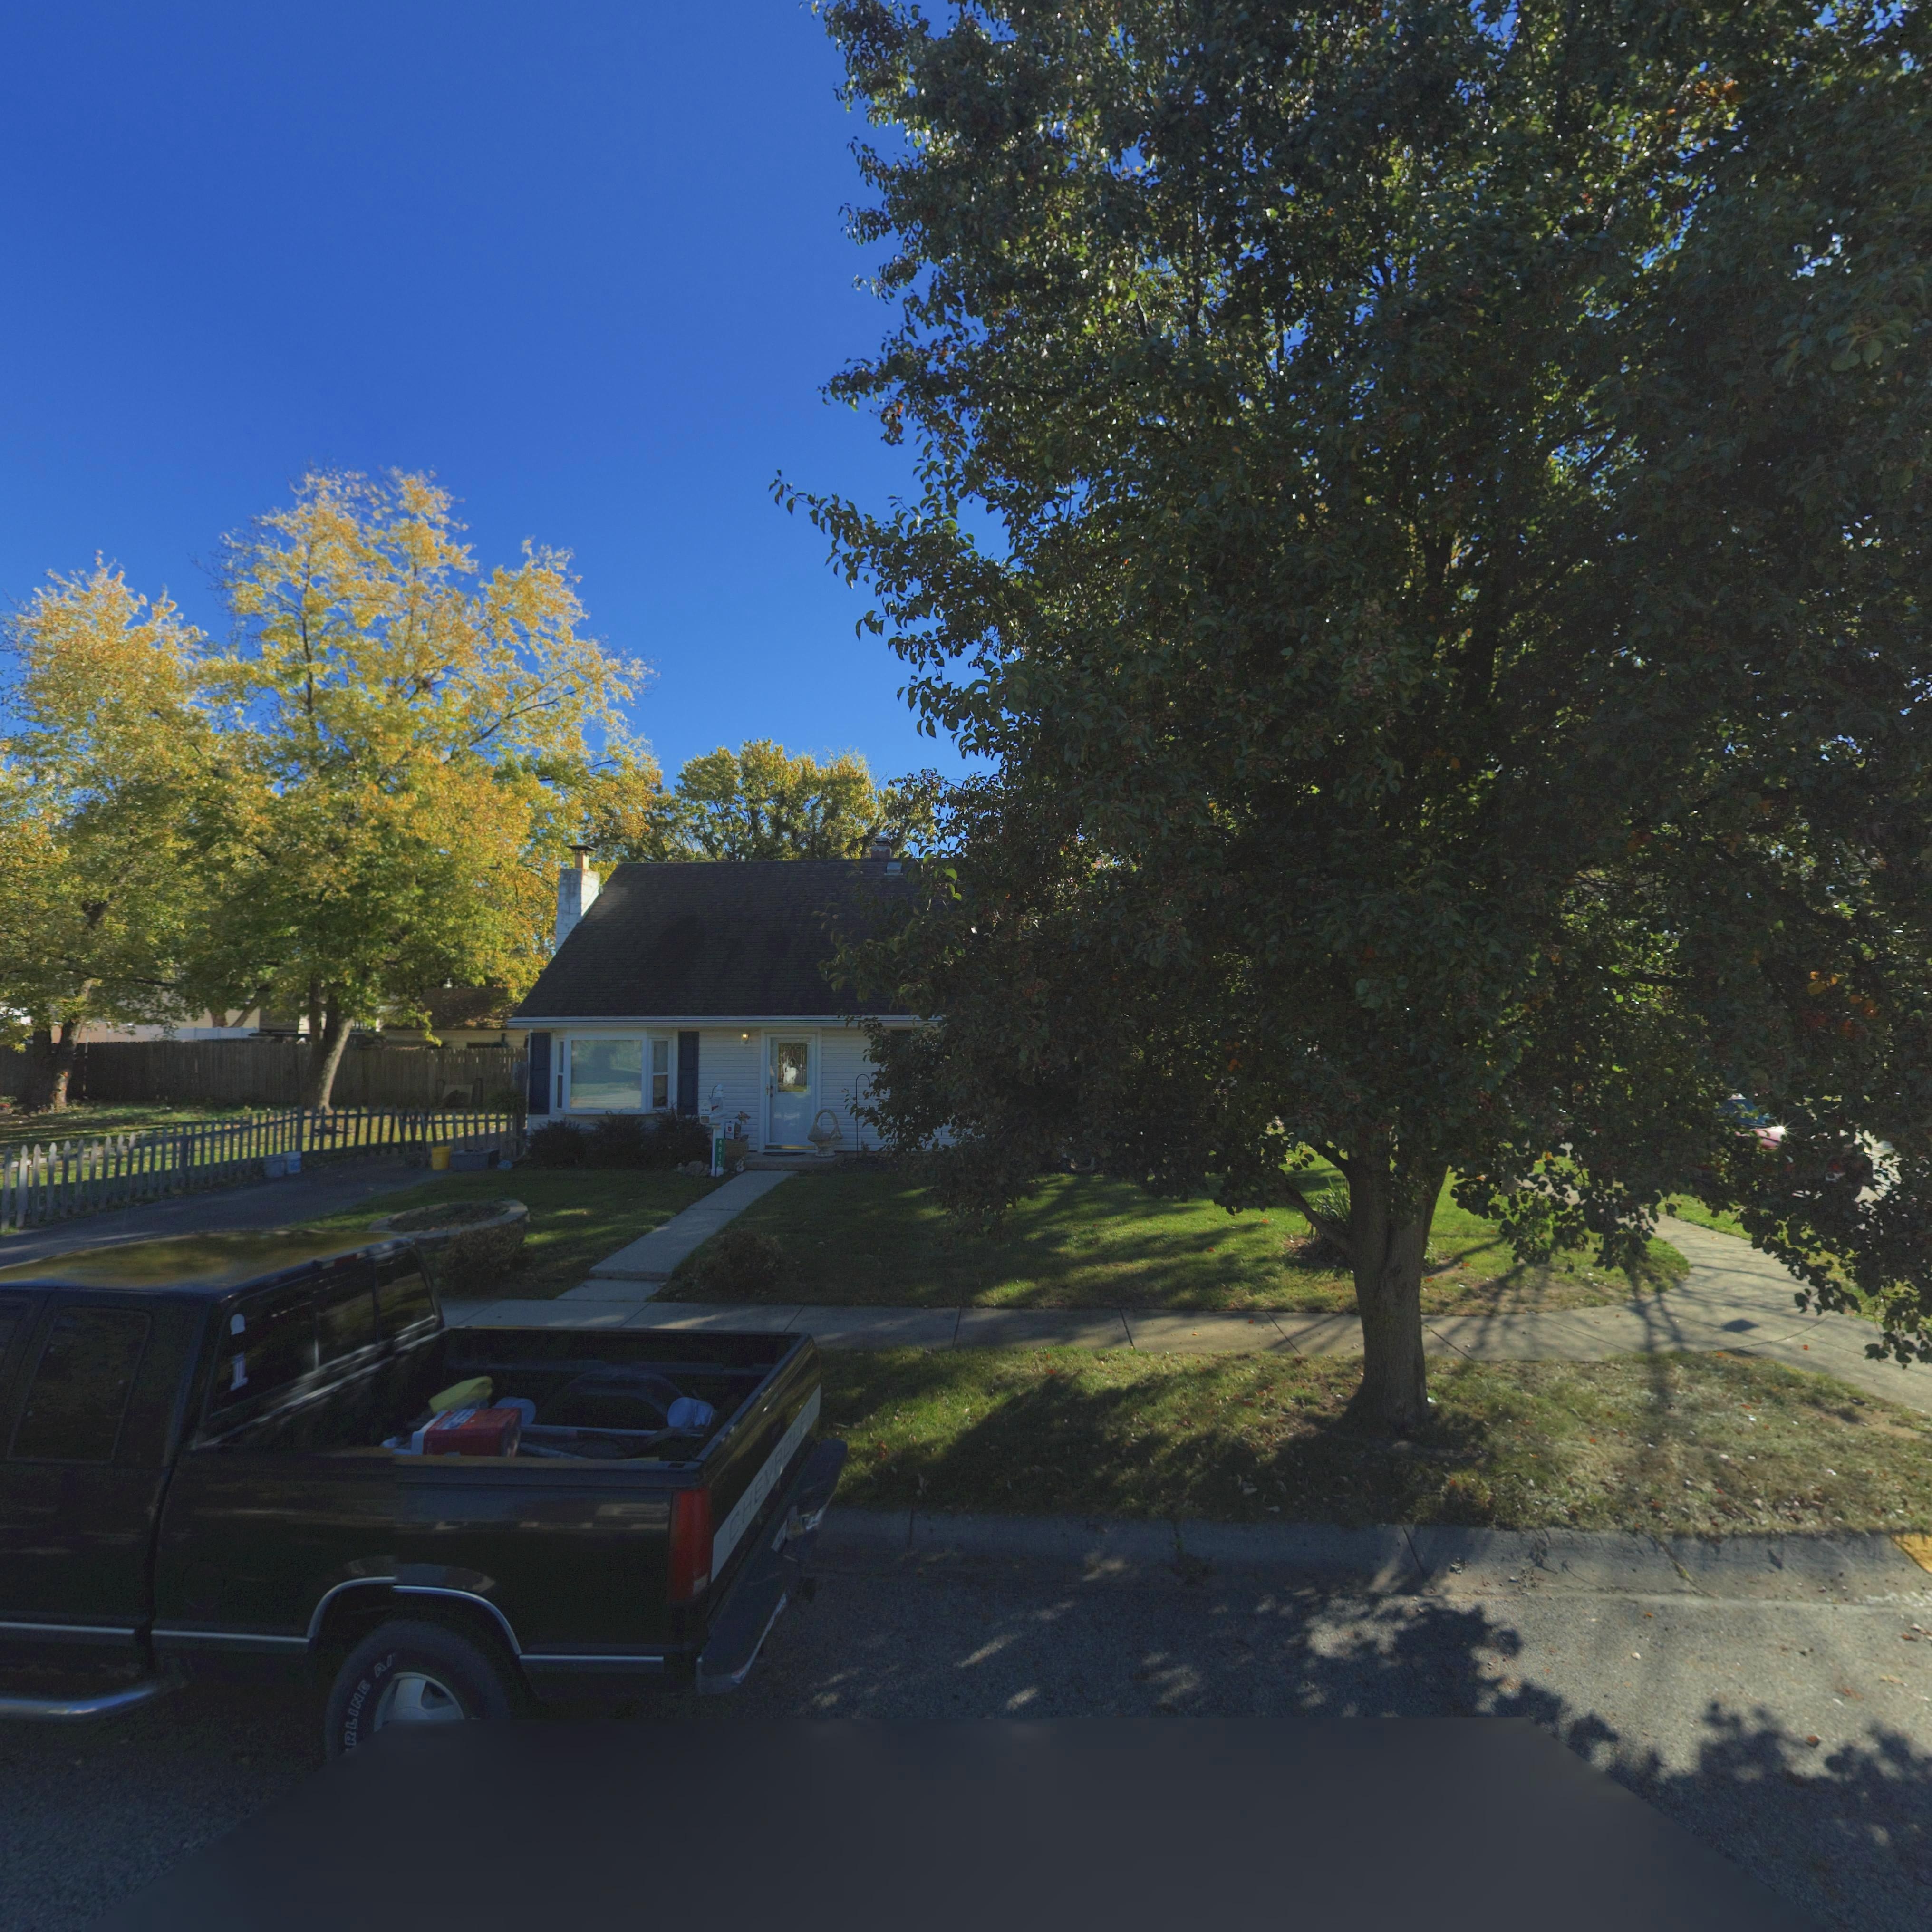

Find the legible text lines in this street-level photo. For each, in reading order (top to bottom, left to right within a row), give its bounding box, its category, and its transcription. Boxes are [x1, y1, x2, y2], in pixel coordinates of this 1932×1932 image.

[717, 1139, 723, 1167] StreetNumber: 4815